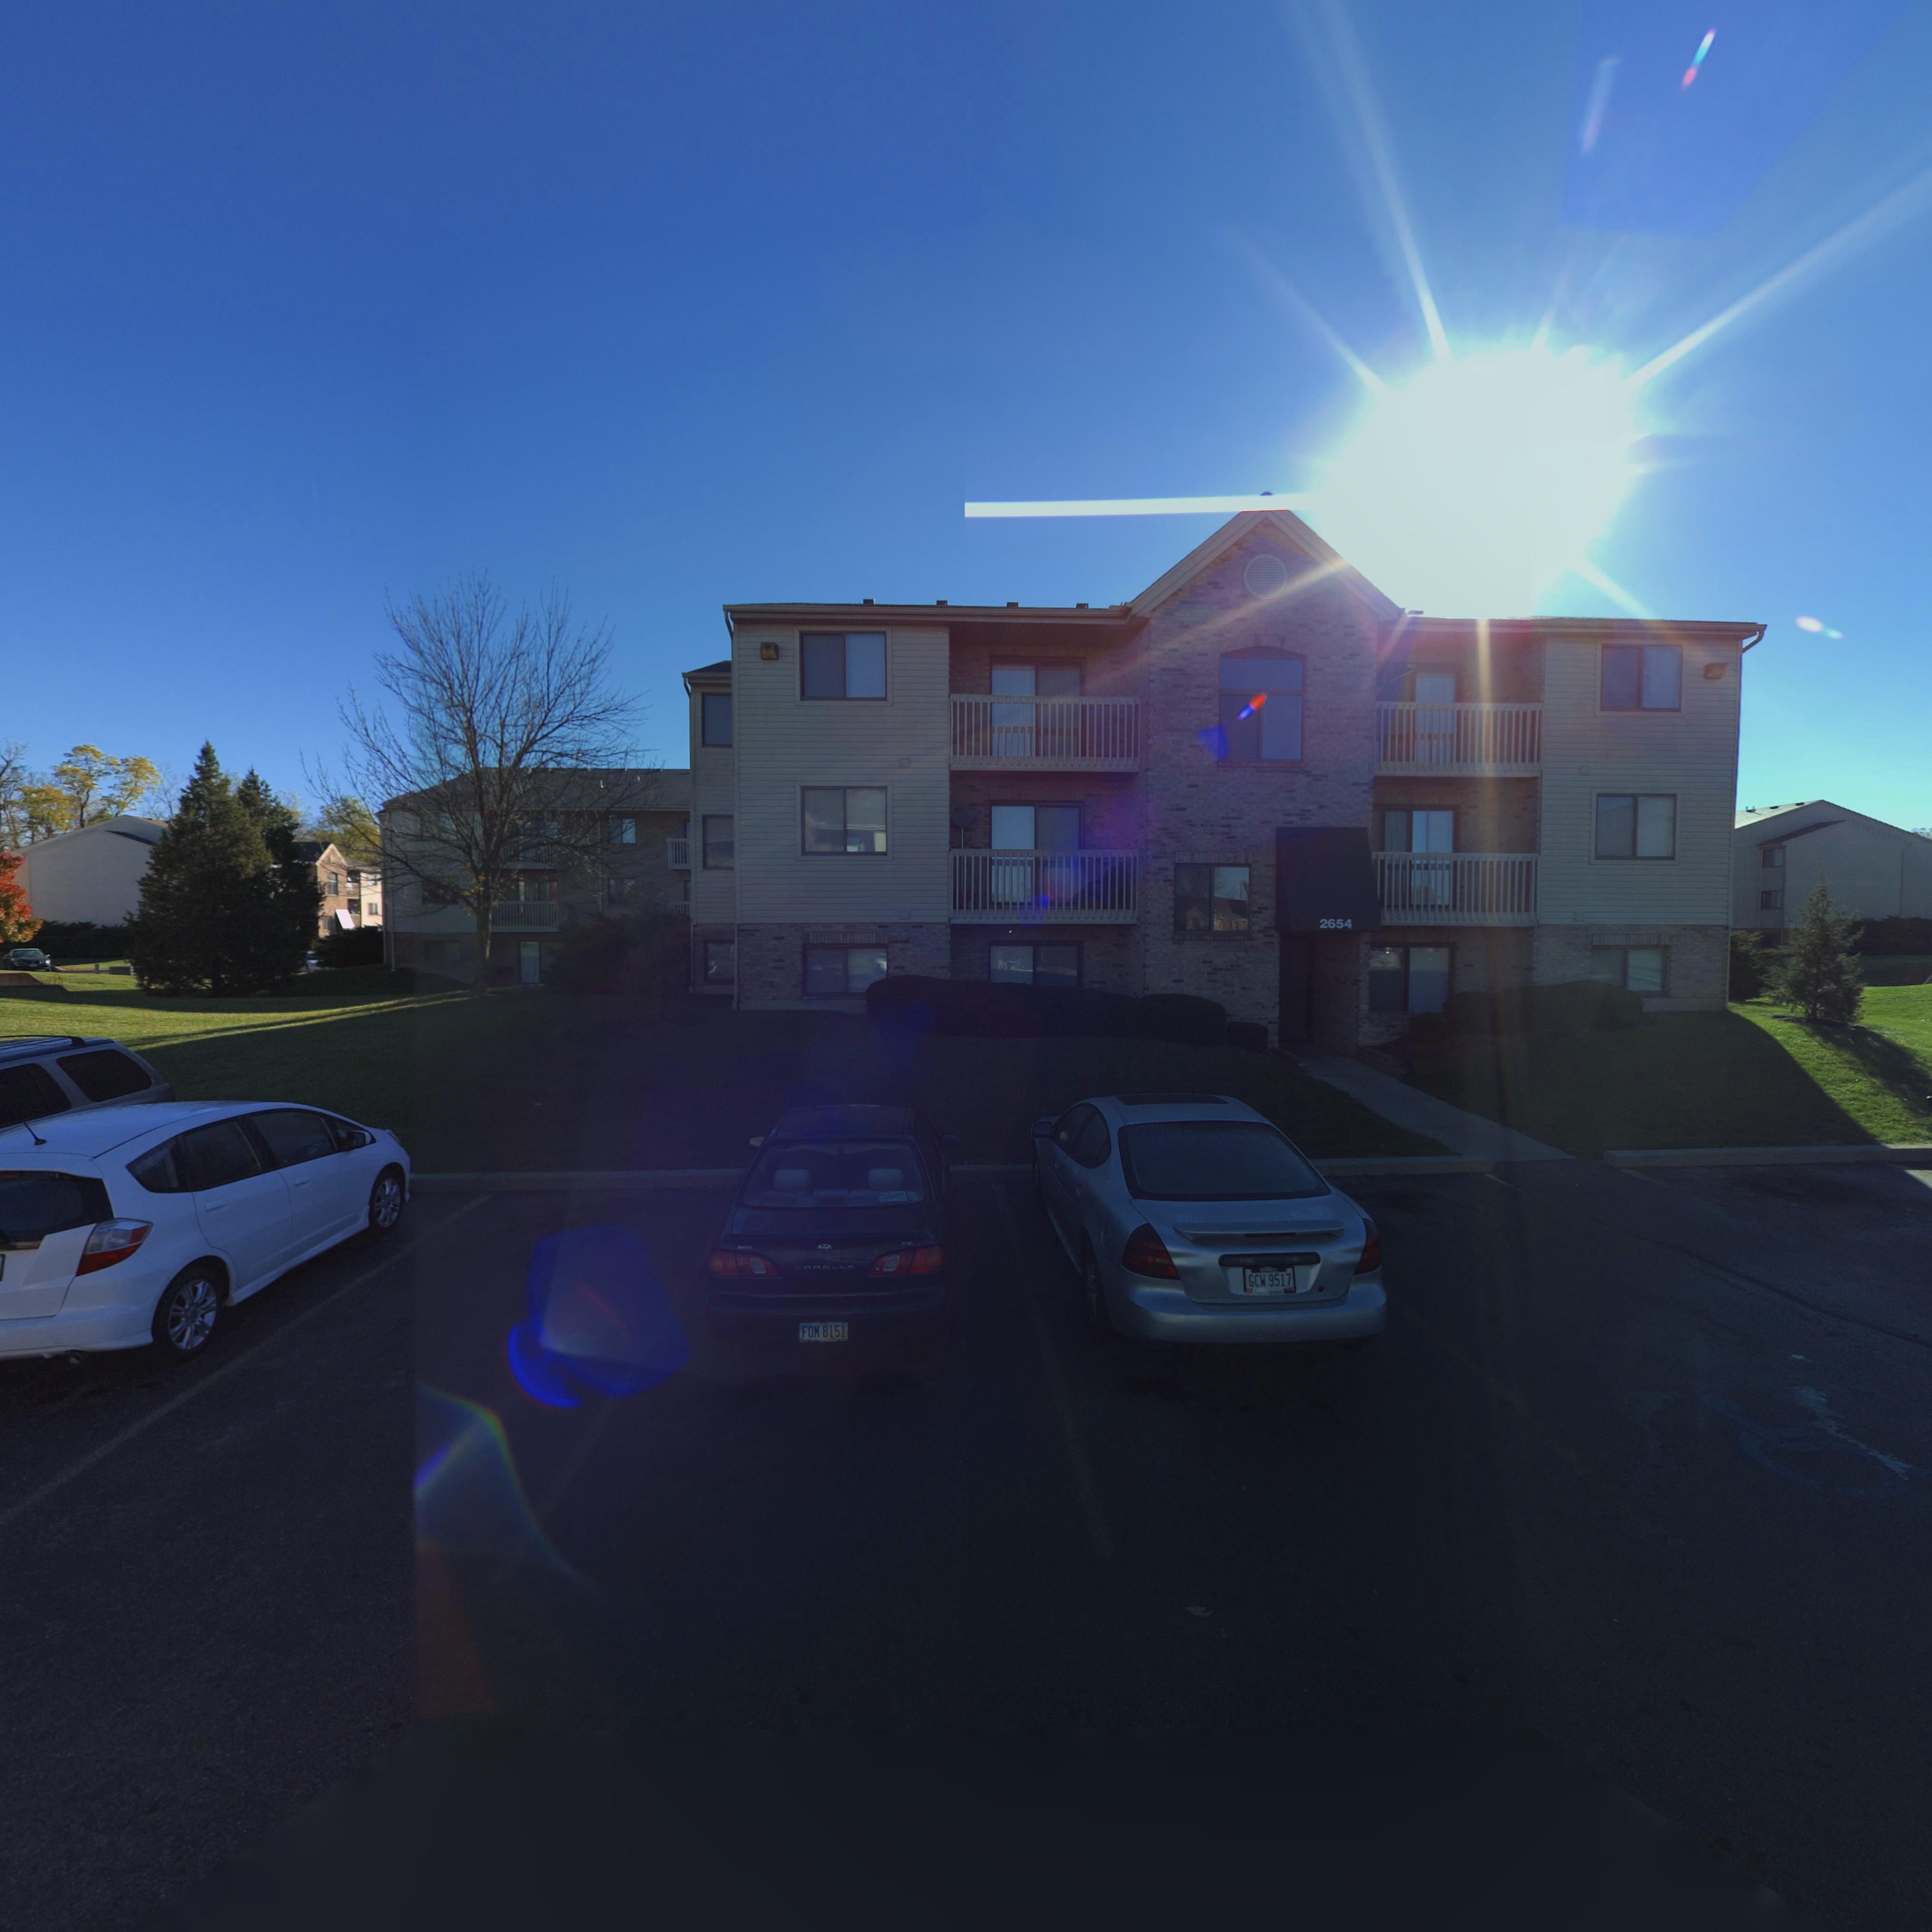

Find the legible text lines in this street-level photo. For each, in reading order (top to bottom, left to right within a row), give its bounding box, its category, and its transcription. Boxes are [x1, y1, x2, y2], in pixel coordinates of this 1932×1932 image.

[1319, 918, 1353, 929] StreetNumber: 2654